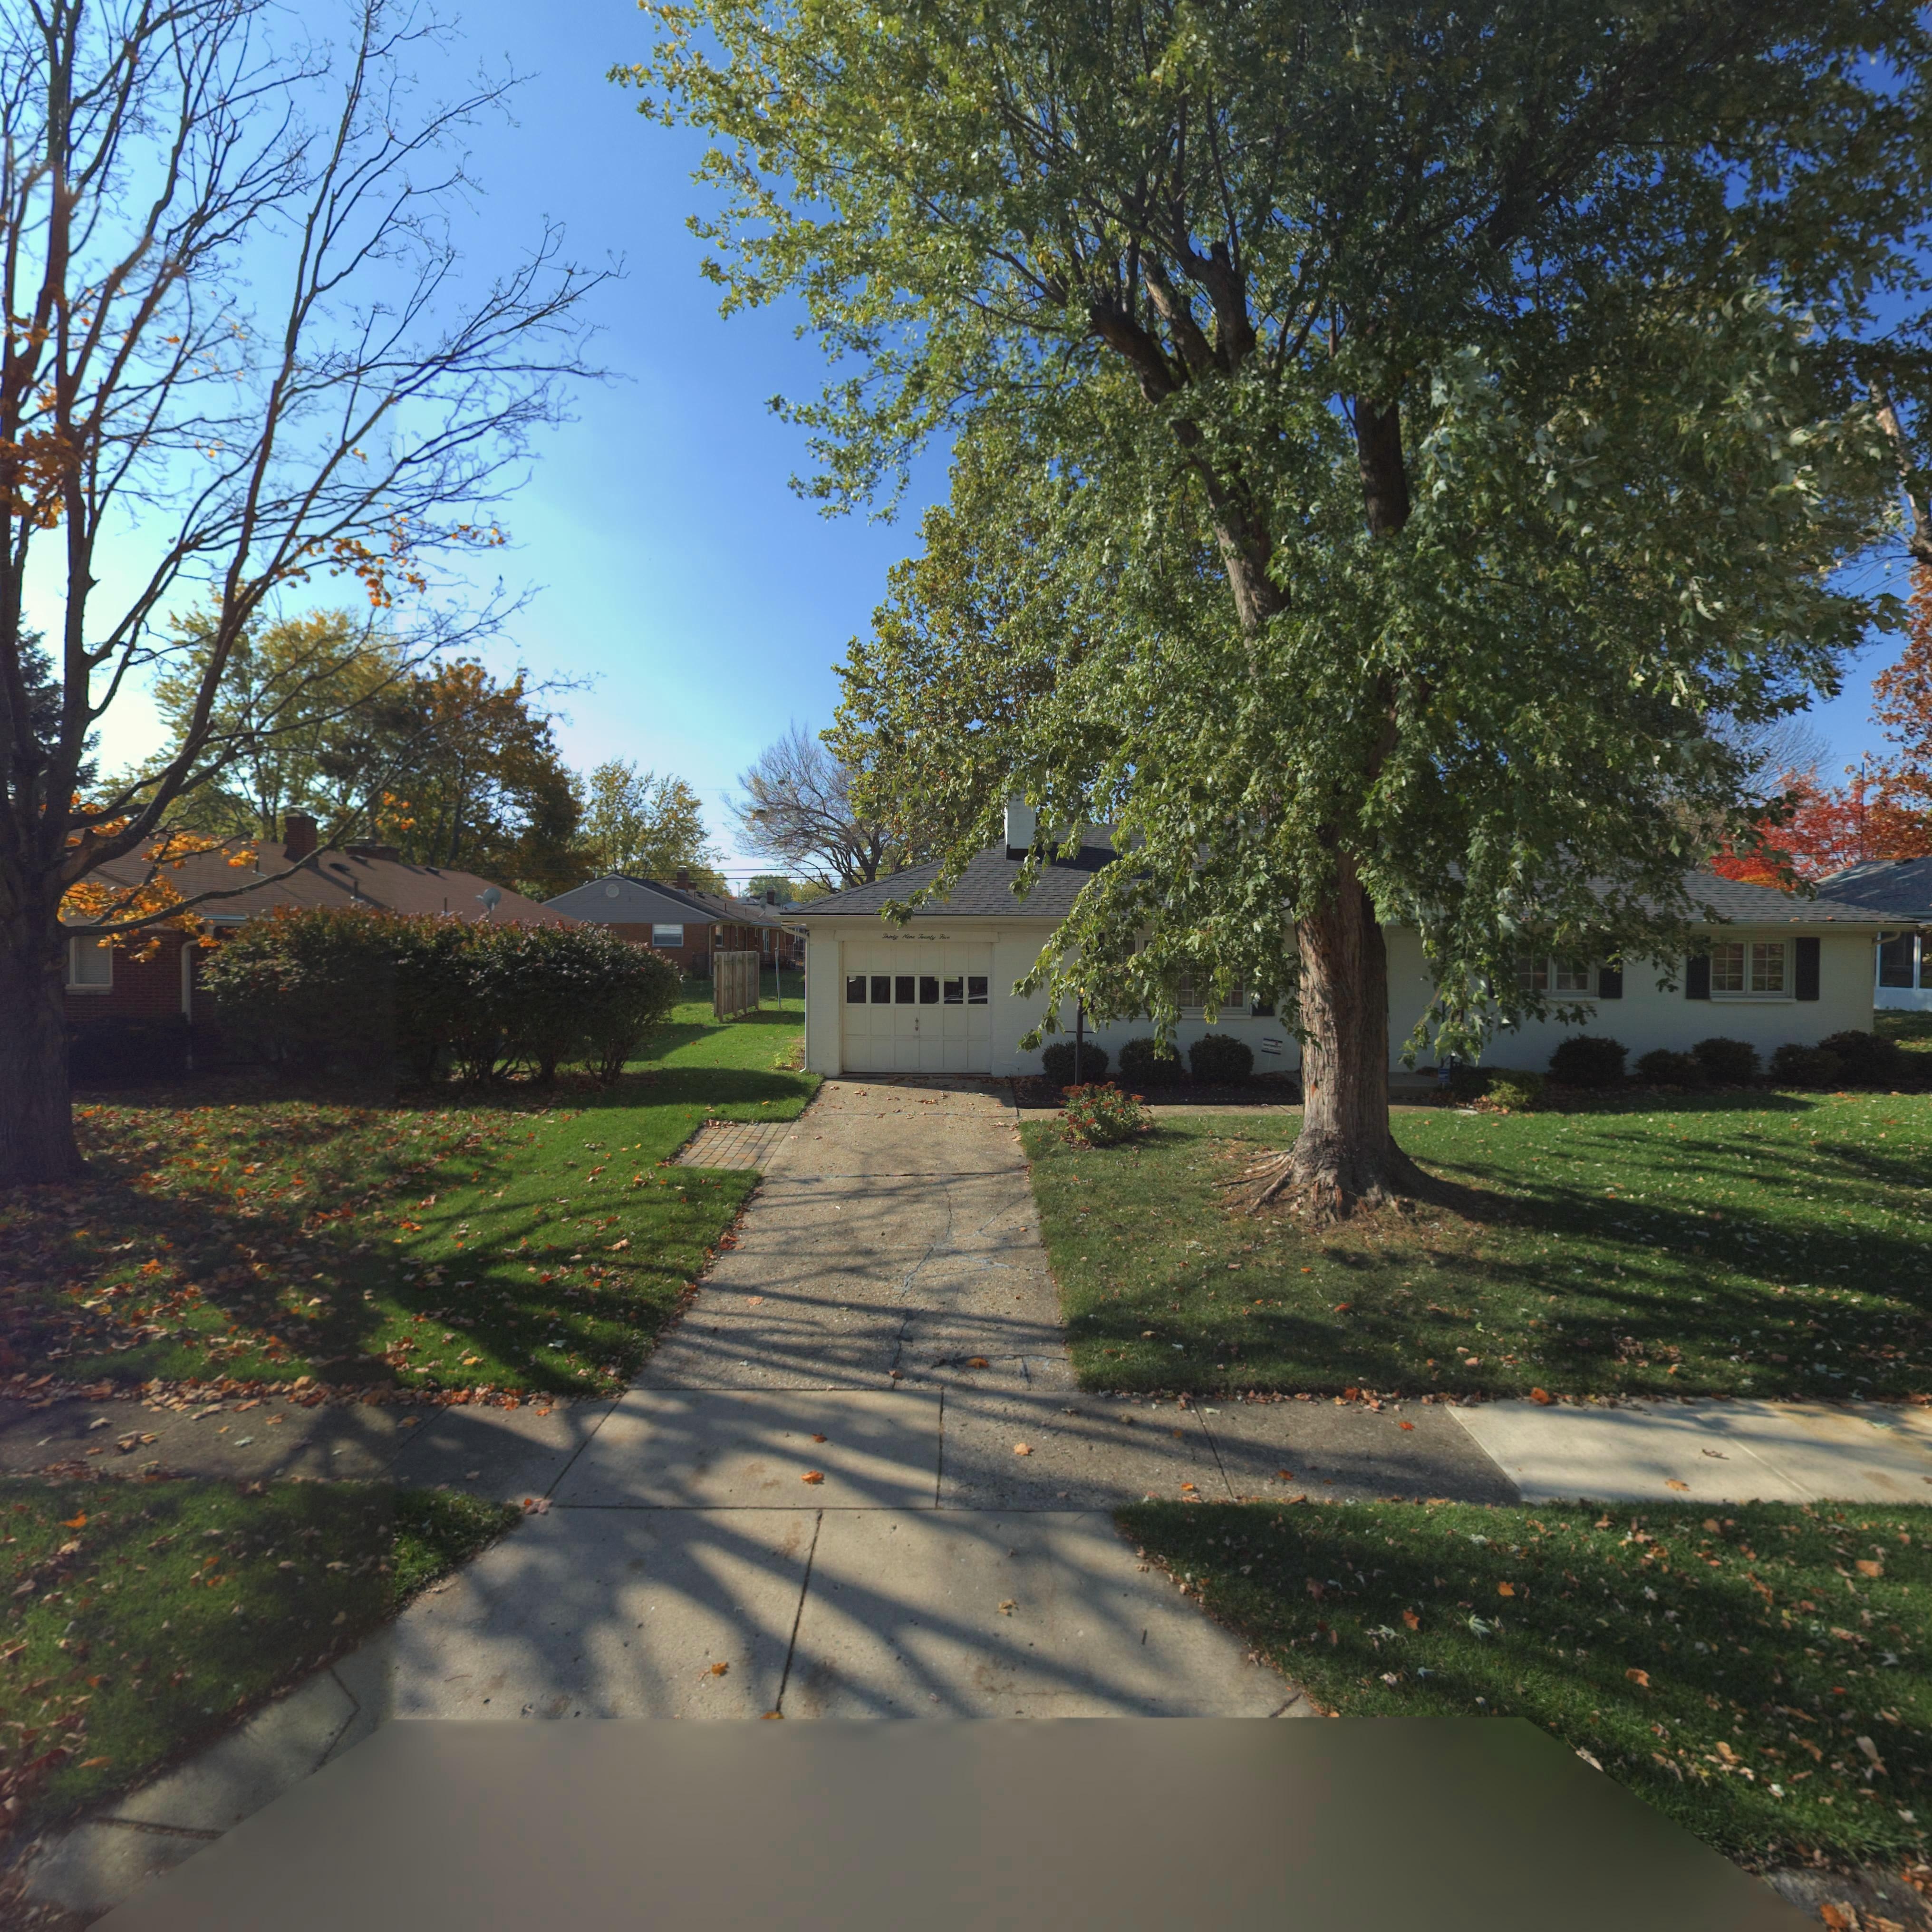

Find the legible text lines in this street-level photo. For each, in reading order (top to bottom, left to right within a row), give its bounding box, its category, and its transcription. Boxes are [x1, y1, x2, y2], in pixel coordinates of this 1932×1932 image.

[902, 933, 915, 939] None: Nine
[917, 933, 936, 940] None: Twenty
[937, 934, 950, 939] None: Five